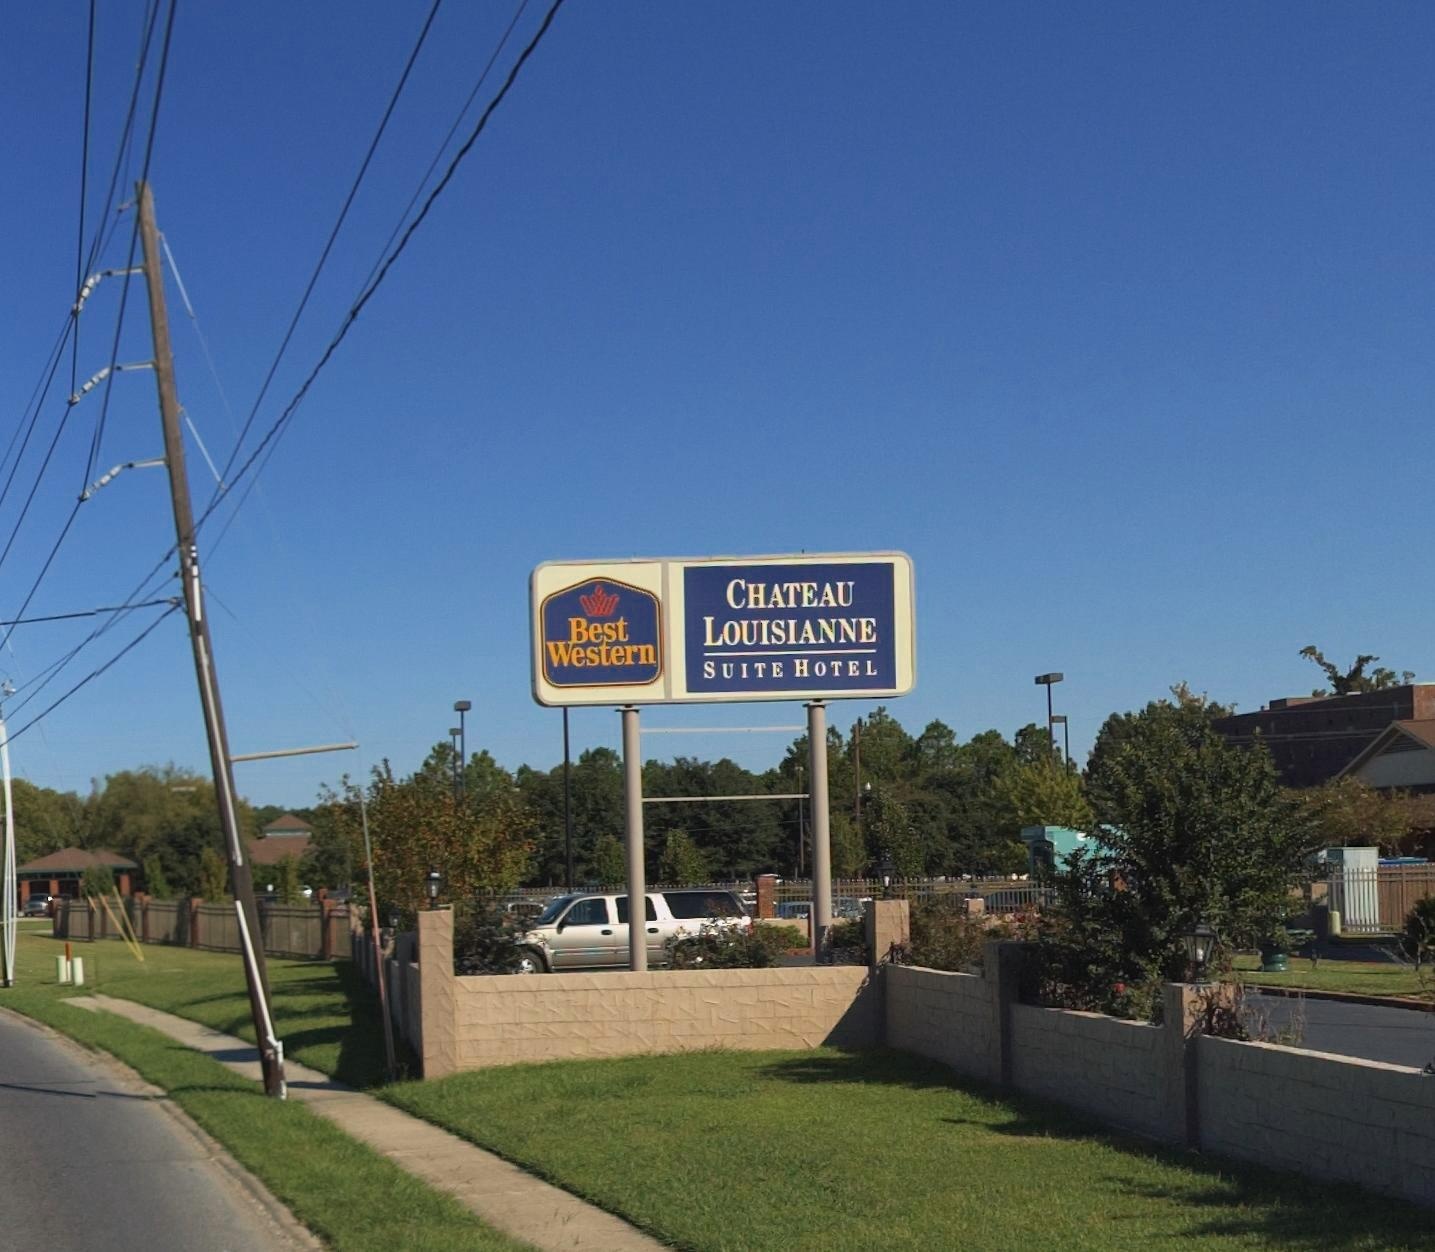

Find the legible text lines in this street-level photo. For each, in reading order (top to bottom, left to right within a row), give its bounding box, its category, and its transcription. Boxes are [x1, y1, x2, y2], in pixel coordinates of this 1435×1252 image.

[722, 576, 857, 613] BusinessName: CHATEAU
[564, 614, 632, 647] BusinessName: Best
[700, 614, 879, 649] BusinessName: LOUISIANNE
[540, 638, 659, 671] BusinessName: Western
[701, 656, 881, 682] None: SUITE HOTEL